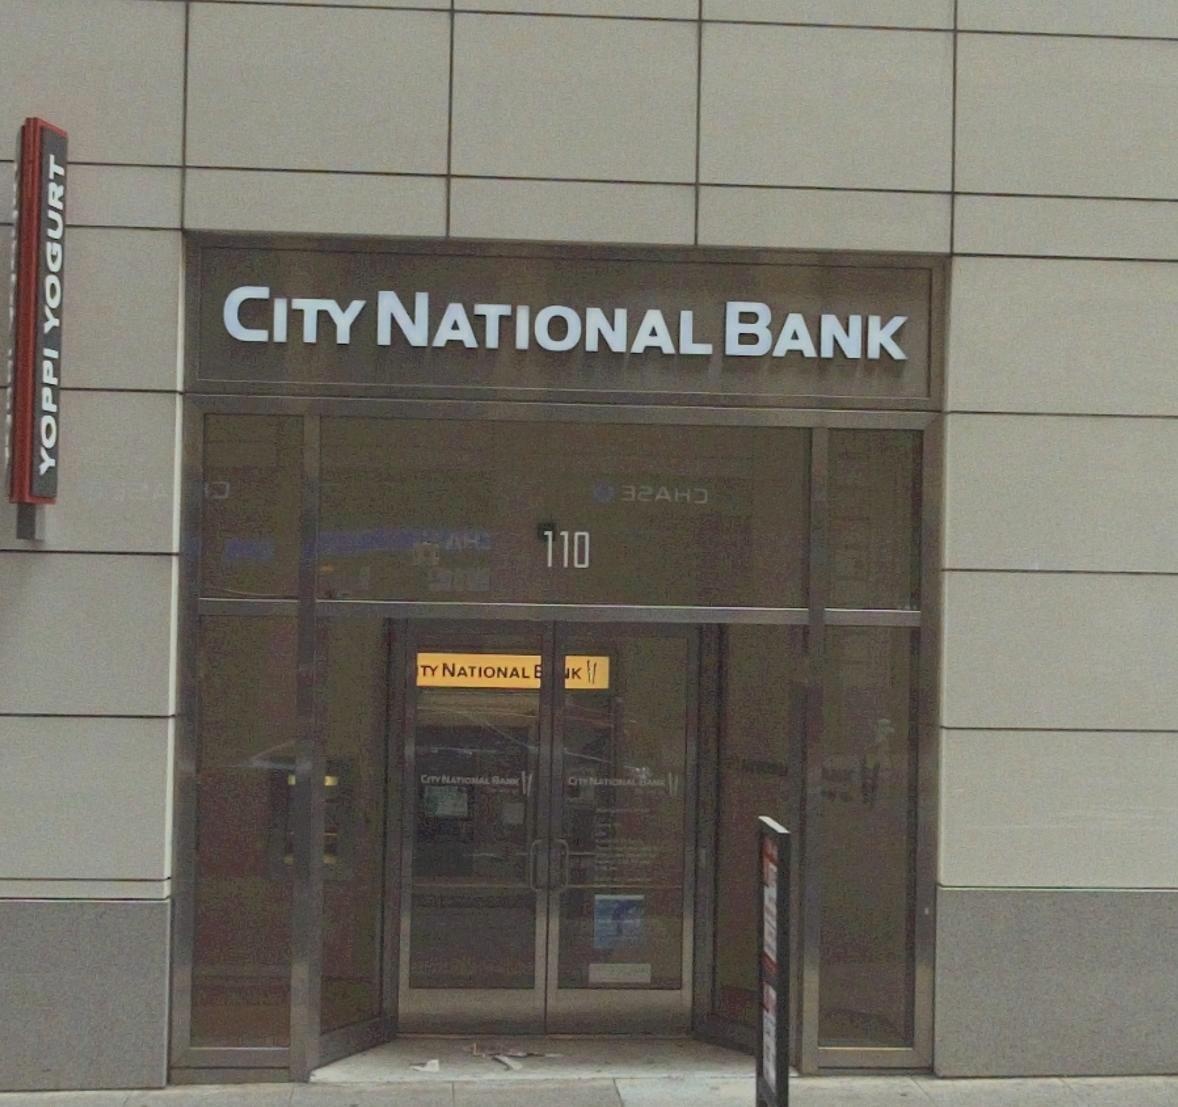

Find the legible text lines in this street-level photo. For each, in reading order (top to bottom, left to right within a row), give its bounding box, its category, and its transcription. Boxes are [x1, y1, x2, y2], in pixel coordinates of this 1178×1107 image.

[38, 152, 67, 479] BusinessName: YOPPI YOGURT
[221, 284, 911, 362] BusinessName: CITY NATIONAL BANK
[620, 484, 709, 506] None: **AH*
[542, 529, 590, 569] StreetNumber: 110
[420, 661, 583, 681] BusinessName: TY NATIONAL ***K
[420, 774, 520, 787] BusinessName: CITY NATIONAL BANK
[567, 775, 666, 787] BusinessName: CITY NATIONAL BANK